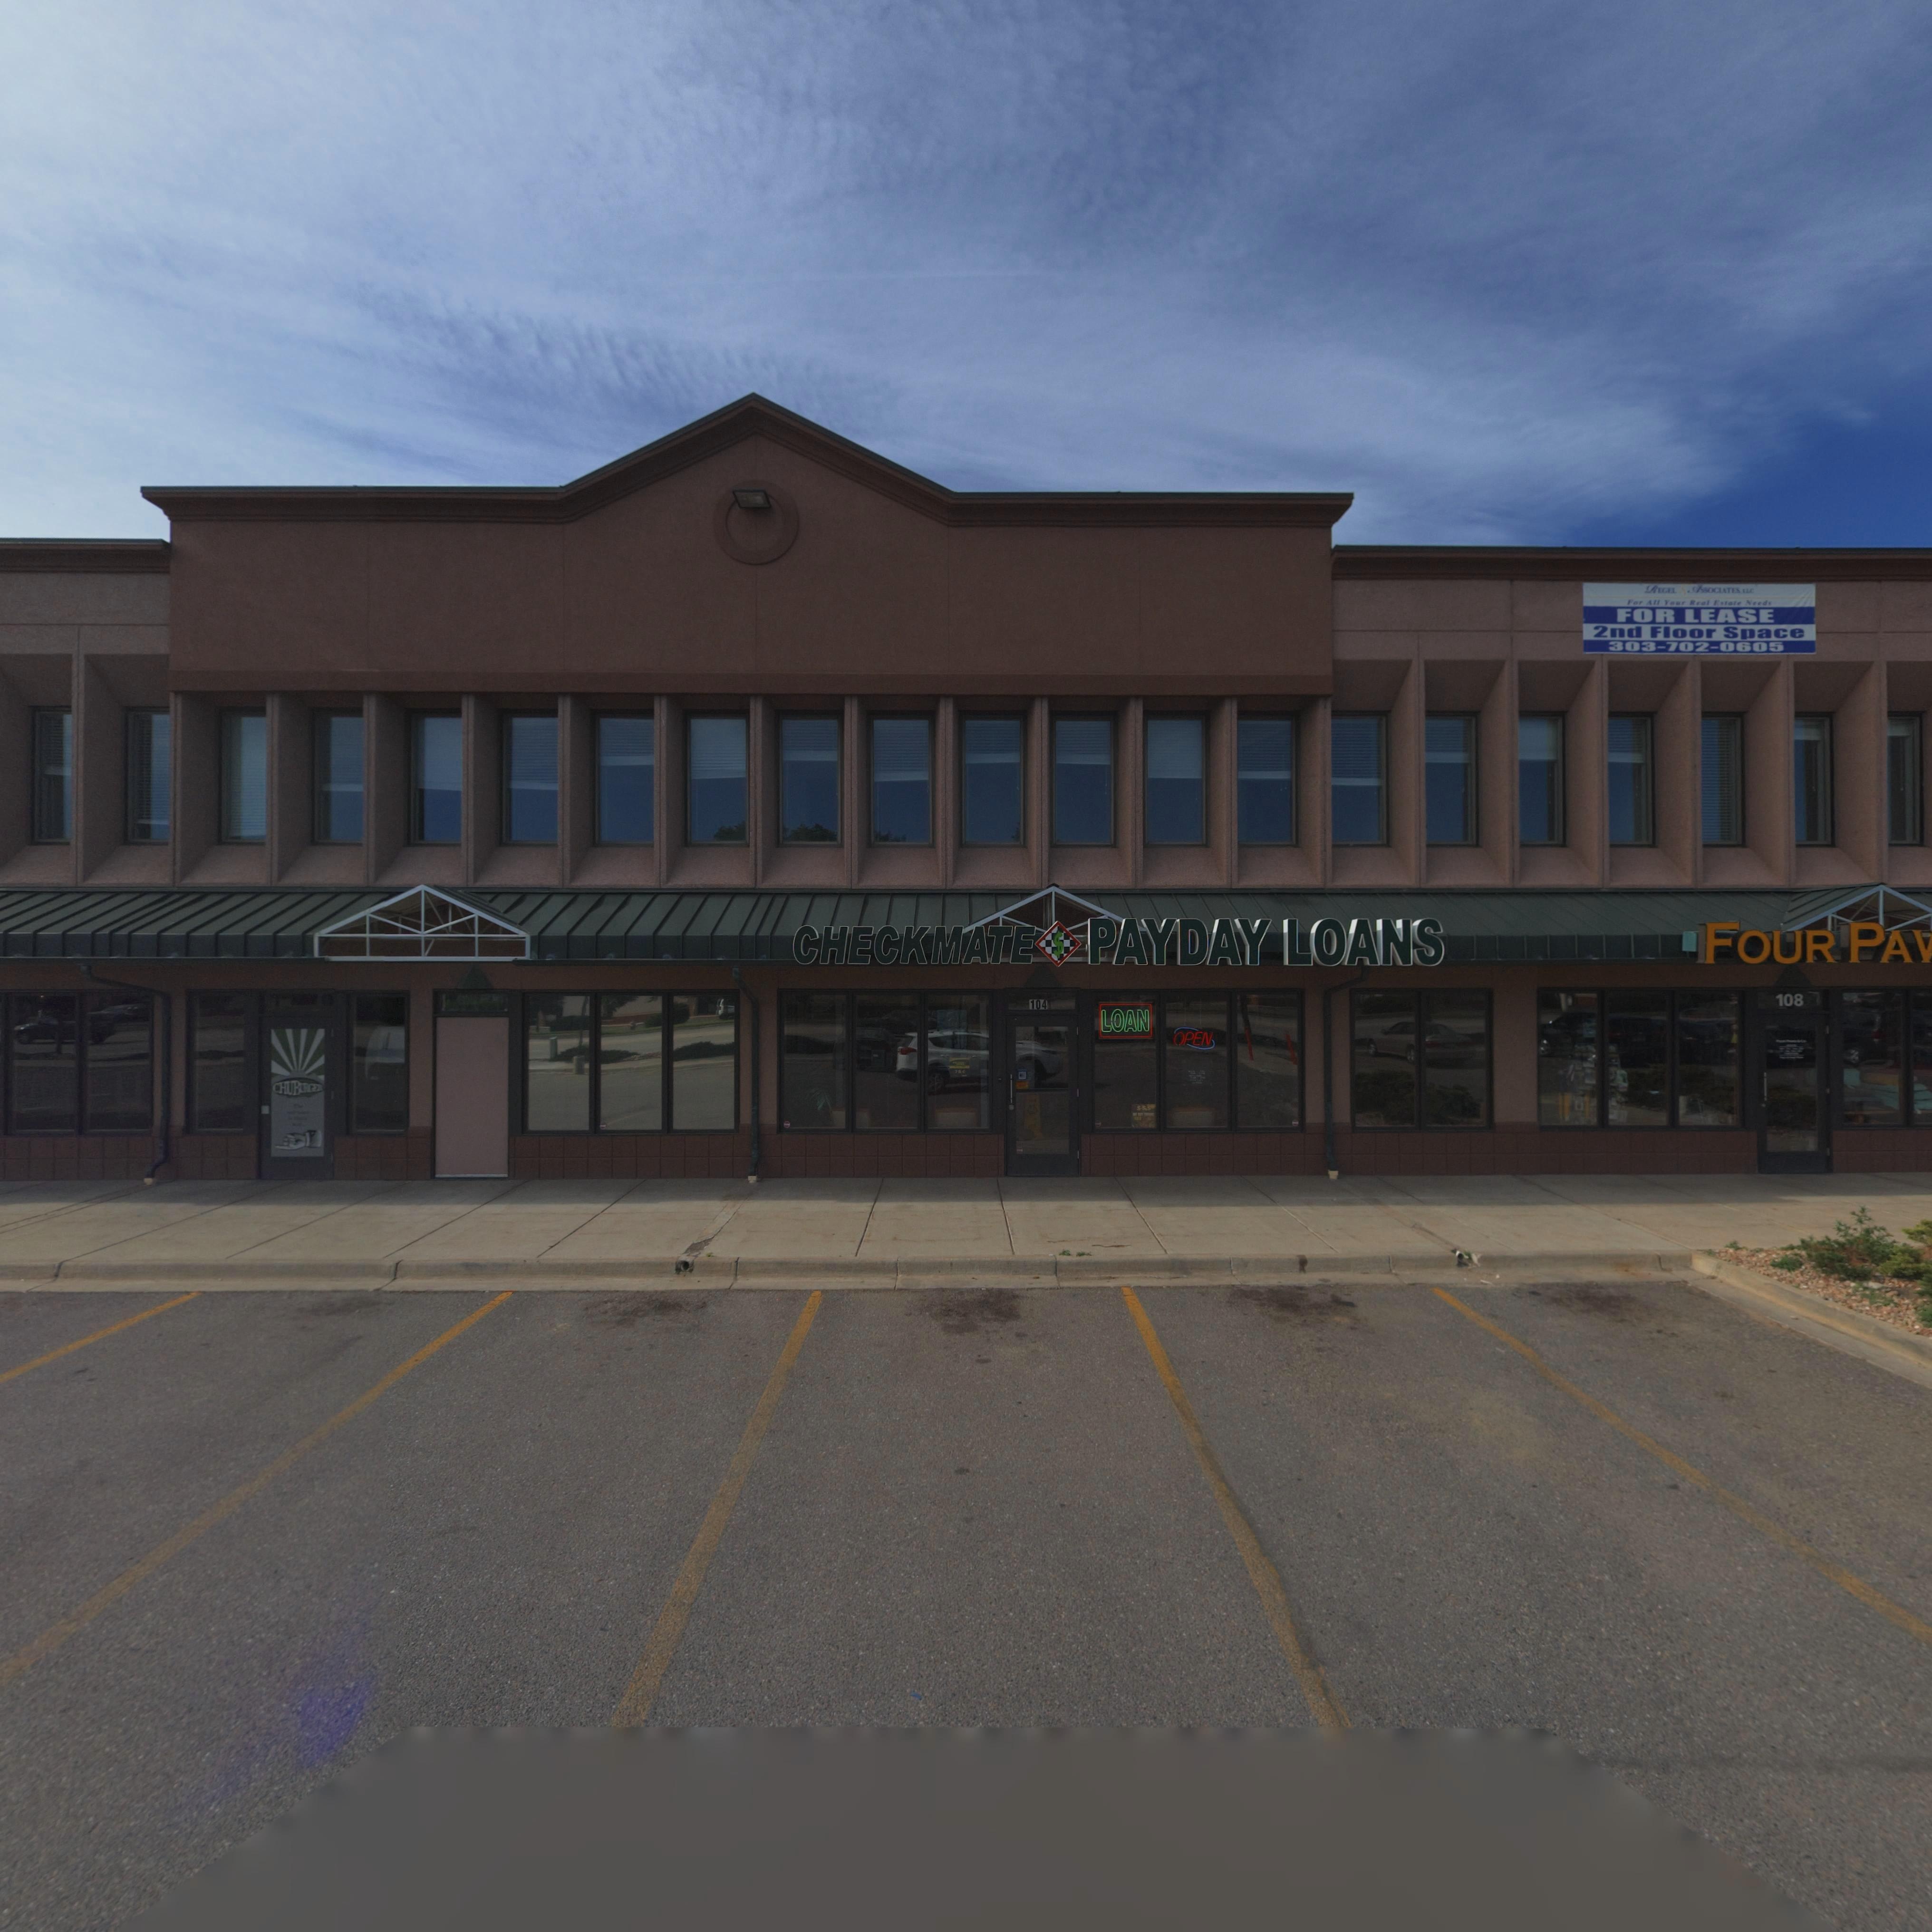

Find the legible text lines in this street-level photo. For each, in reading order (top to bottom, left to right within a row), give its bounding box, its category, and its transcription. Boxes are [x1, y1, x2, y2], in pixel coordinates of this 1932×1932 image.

[790, 916, 1444, 967] BusinessName: CHECKMATE*PAYDAY LOANS
[1695, 921, 1915, 964] BusinessName: FOUR PA
[1030, 1000, 1047, 1009] StreetNumber: 104
[1775, 993, 1804, 1005] StreetNumber: 108
[272, 1079, 323, 1095] BusinessName: CHUBURGER